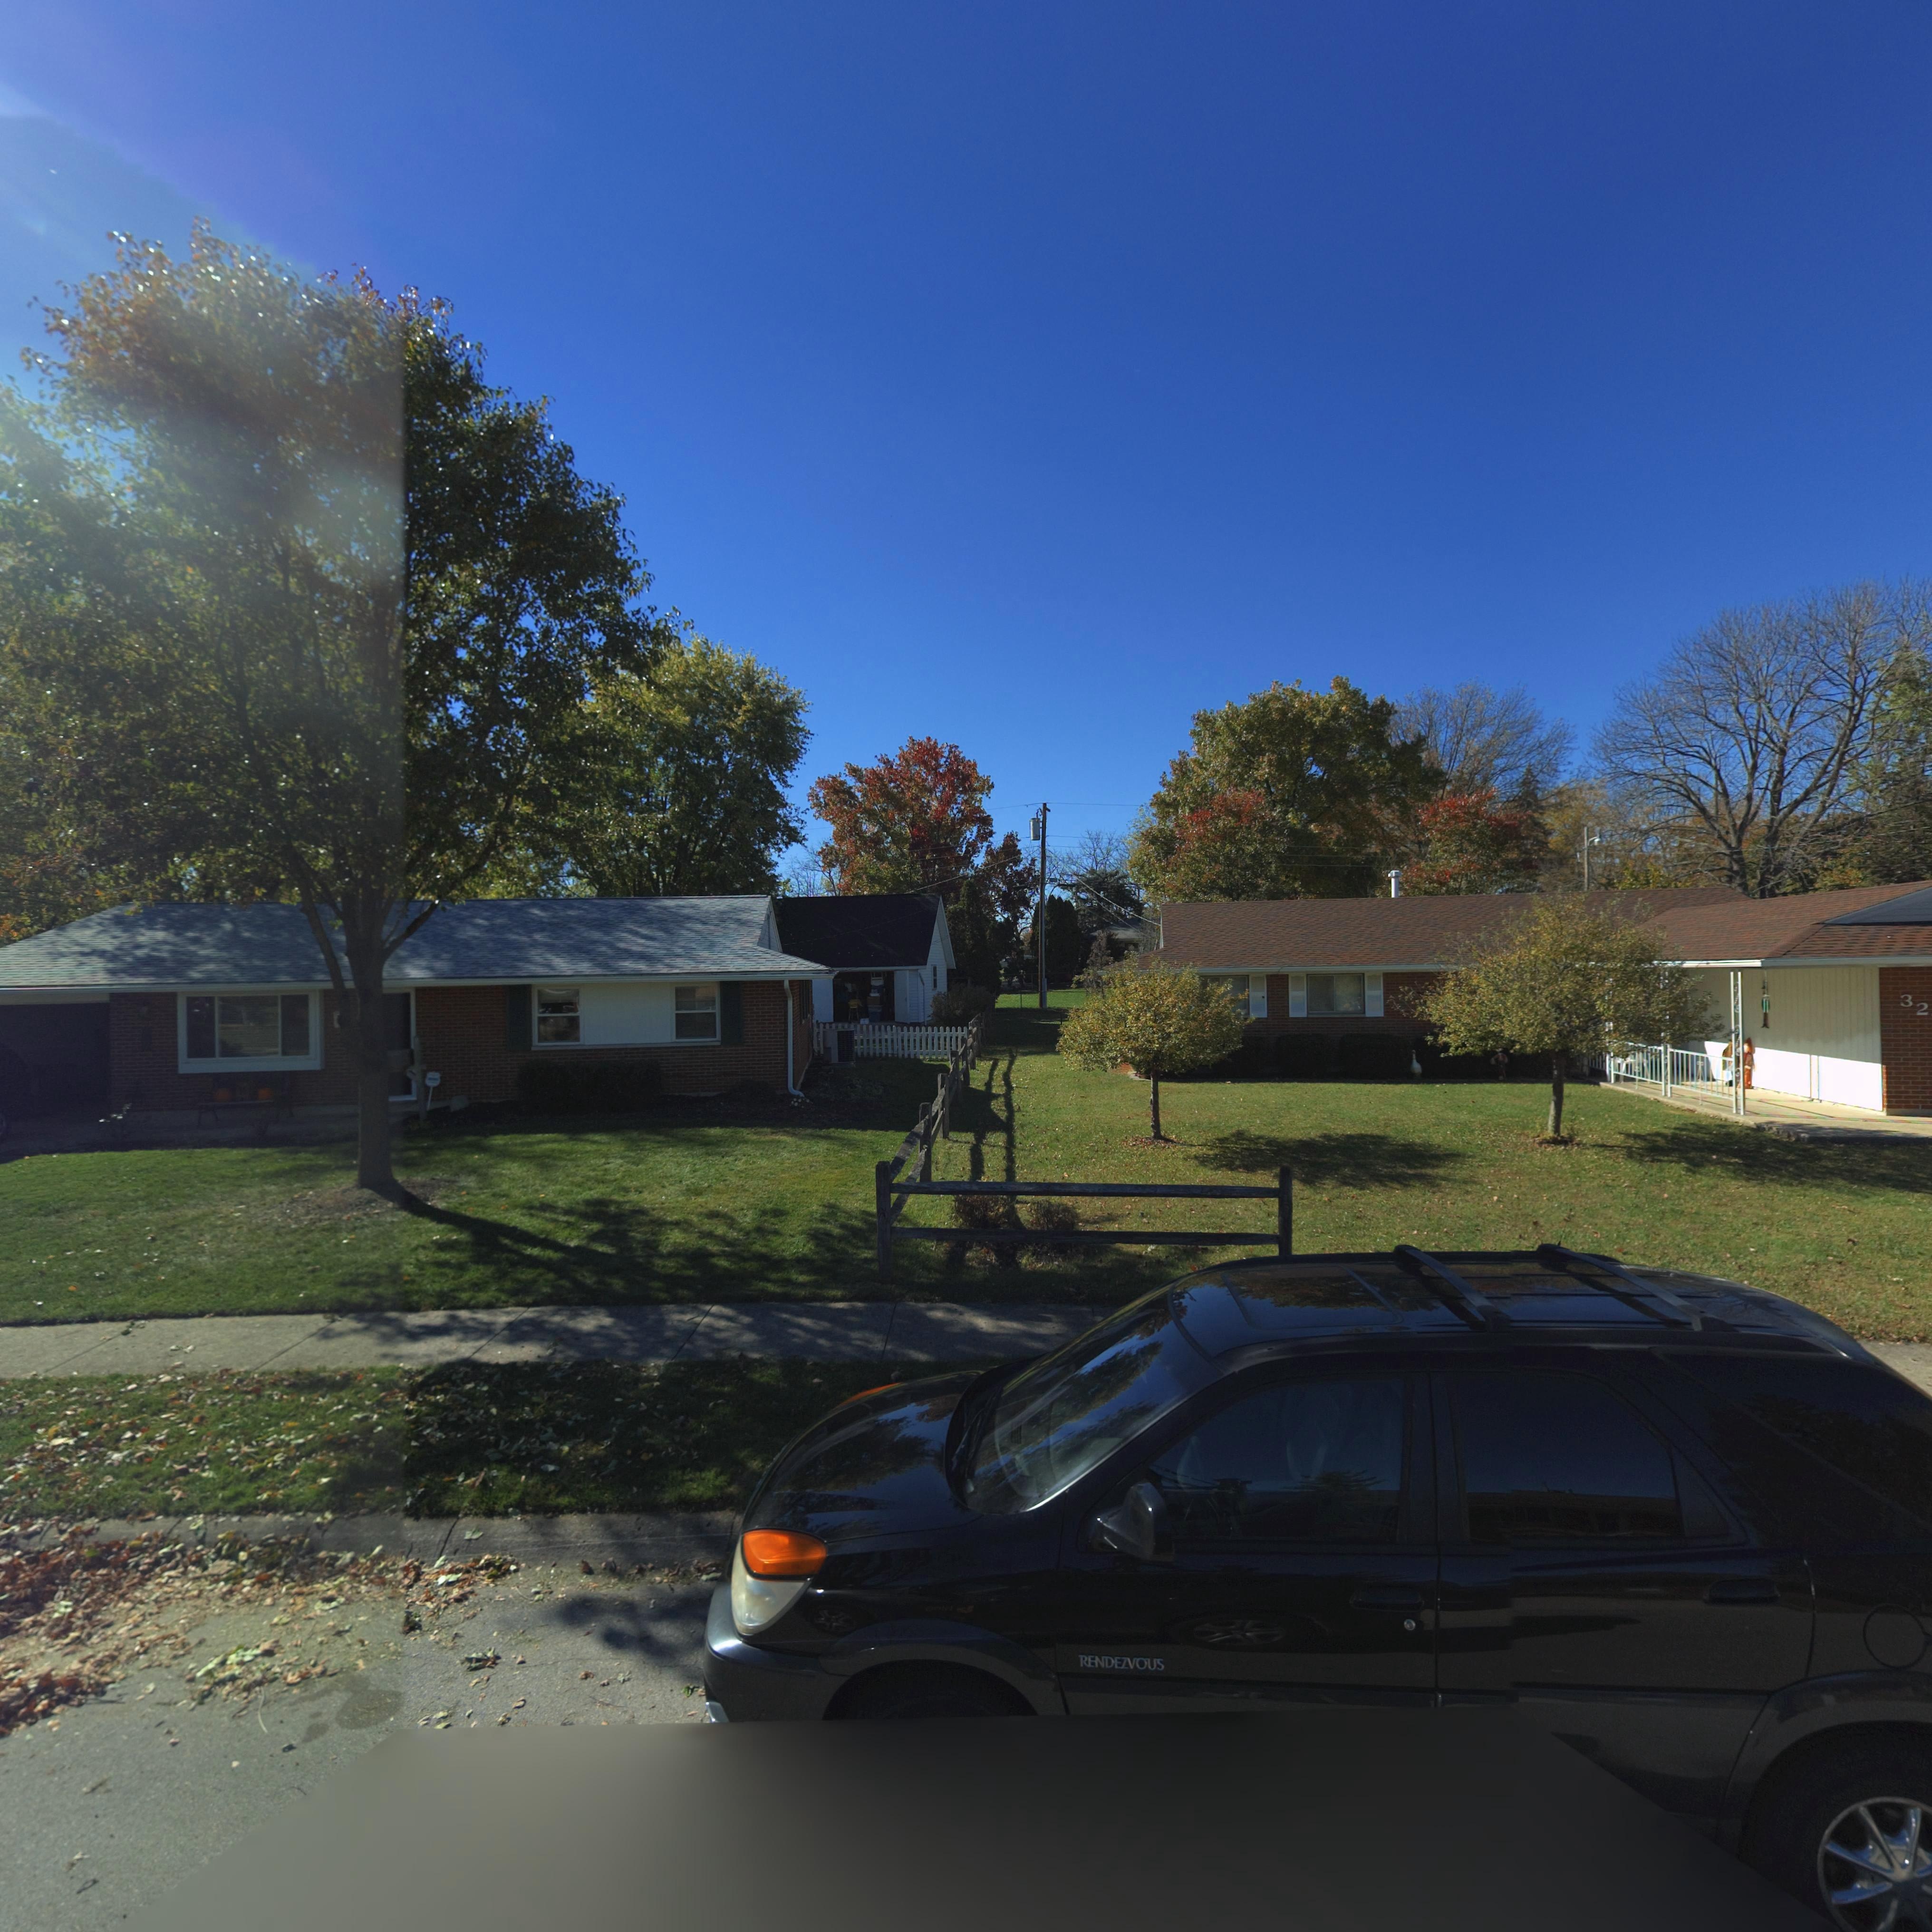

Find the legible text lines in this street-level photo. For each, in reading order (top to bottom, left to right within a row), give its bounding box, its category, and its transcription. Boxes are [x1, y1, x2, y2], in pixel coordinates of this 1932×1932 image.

[1899, 993, 1930, 1017] StreetNumber: 32